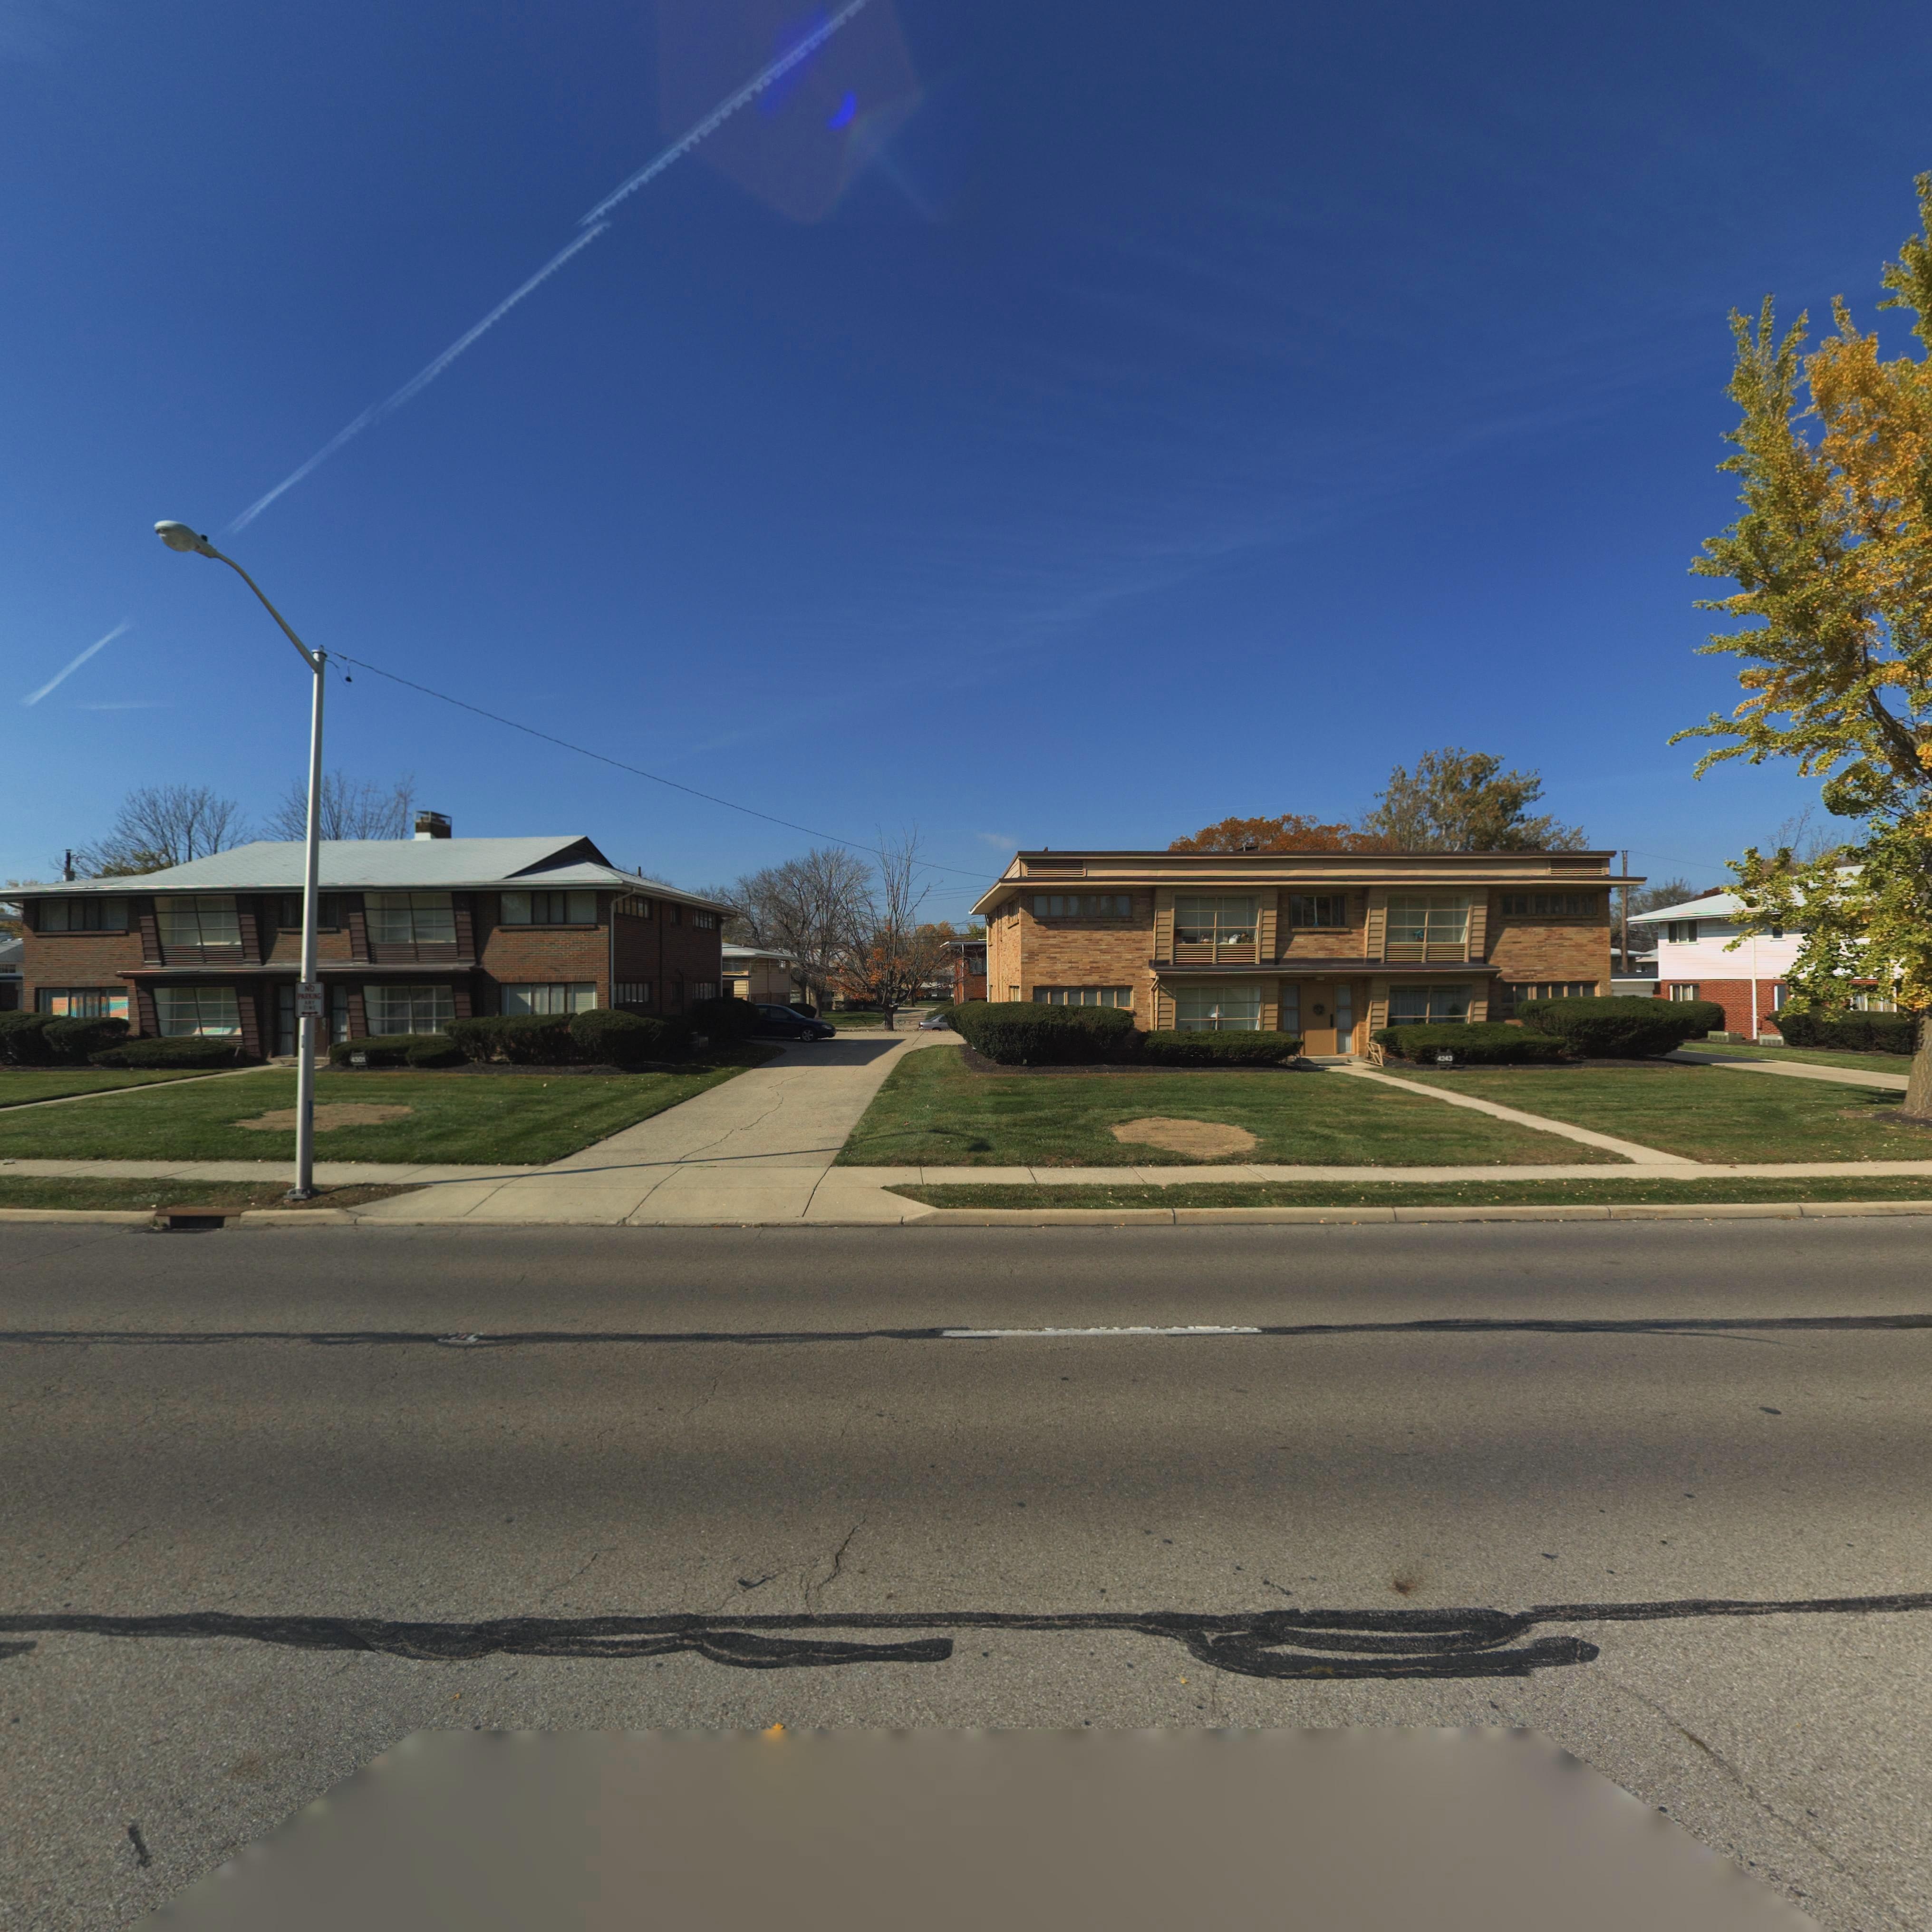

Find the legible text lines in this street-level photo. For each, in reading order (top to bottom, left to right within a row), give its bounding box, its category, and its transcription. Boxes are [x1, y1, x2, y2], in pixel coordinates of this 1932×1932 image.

[349, 1055, 367, 1064] StreetNumber: 4301
[1436, 1054, 1454, 1063] StreetNumber: 4243